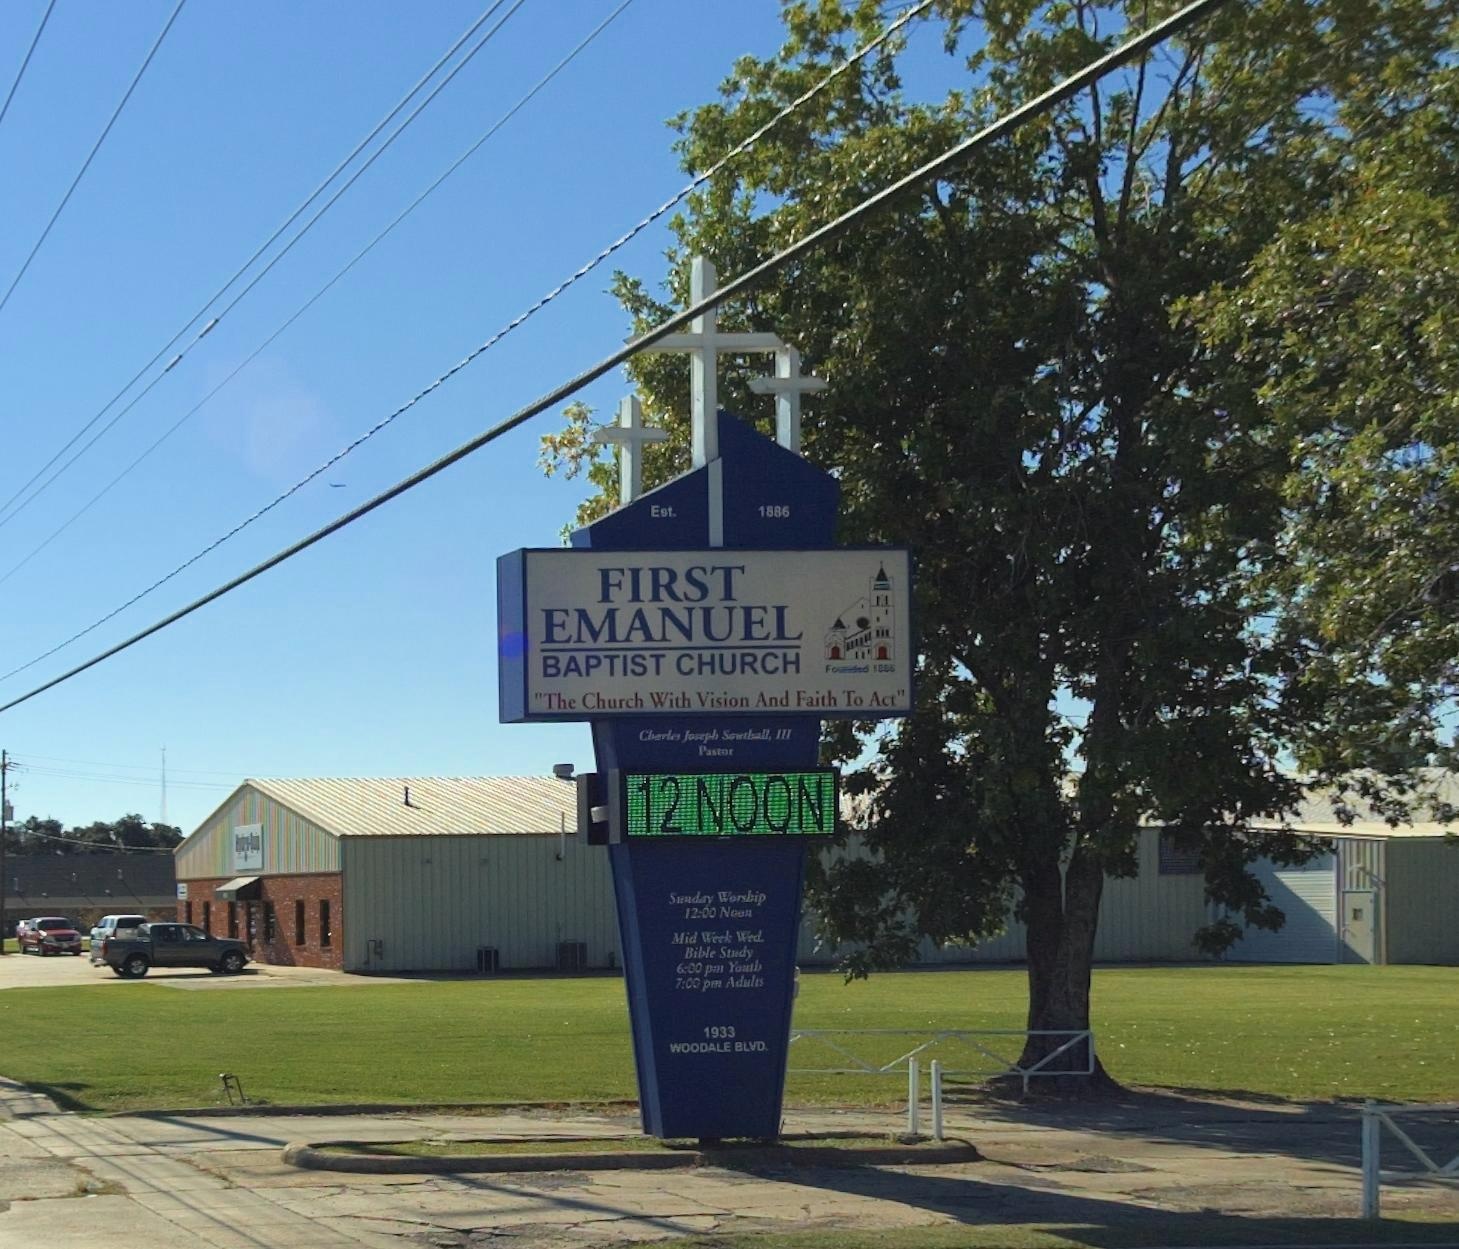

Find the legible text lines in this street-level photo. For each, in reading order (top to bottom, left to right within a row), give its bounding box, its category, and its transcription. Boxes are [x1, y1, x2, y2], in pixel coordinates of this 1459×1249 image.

[649, 501, 680, 521] None: Est.
[754, 501, 793, 521] None: 1886
[593, 562, 749, 605] BusinessName: First Emanuel Baptist Church 
[537, 602, 807, 646] BusinessName: EMANUEL
[539, 648, 804, 681] BusinessName: BAPTIST CHURCH
[823, 661, 840, 677] None: Fo
[854, 661, 898, 676] None: ed 18**
[542, 688, 899, 712] None: The Church With Vision And Faith To Act
[634, 723, 798, 747] None: Ch*rle* Jo**ph So***all, III
[696, 743, 736, 759] None: Pastor
[633, 770, 827, 836] None: 12 NOON
[666, 887, 768, 908] None: Sunday Worship
[681, 904, 755, 922] None: 12:00 Noon
[666, 926, 768, 947] None: Mid Week Wed.
[680, 942, 757, 964] None: Bible Study
[673, 956, 765, 979] None: 6:00 pm Youth
[672, 972, 767, 995] None: 7:00 pm Adults
[700, 1021, 739, 1042] StreetNumber: 1933
[665, 1038, 772, 1057] StreetName: WOODALE BLVD.